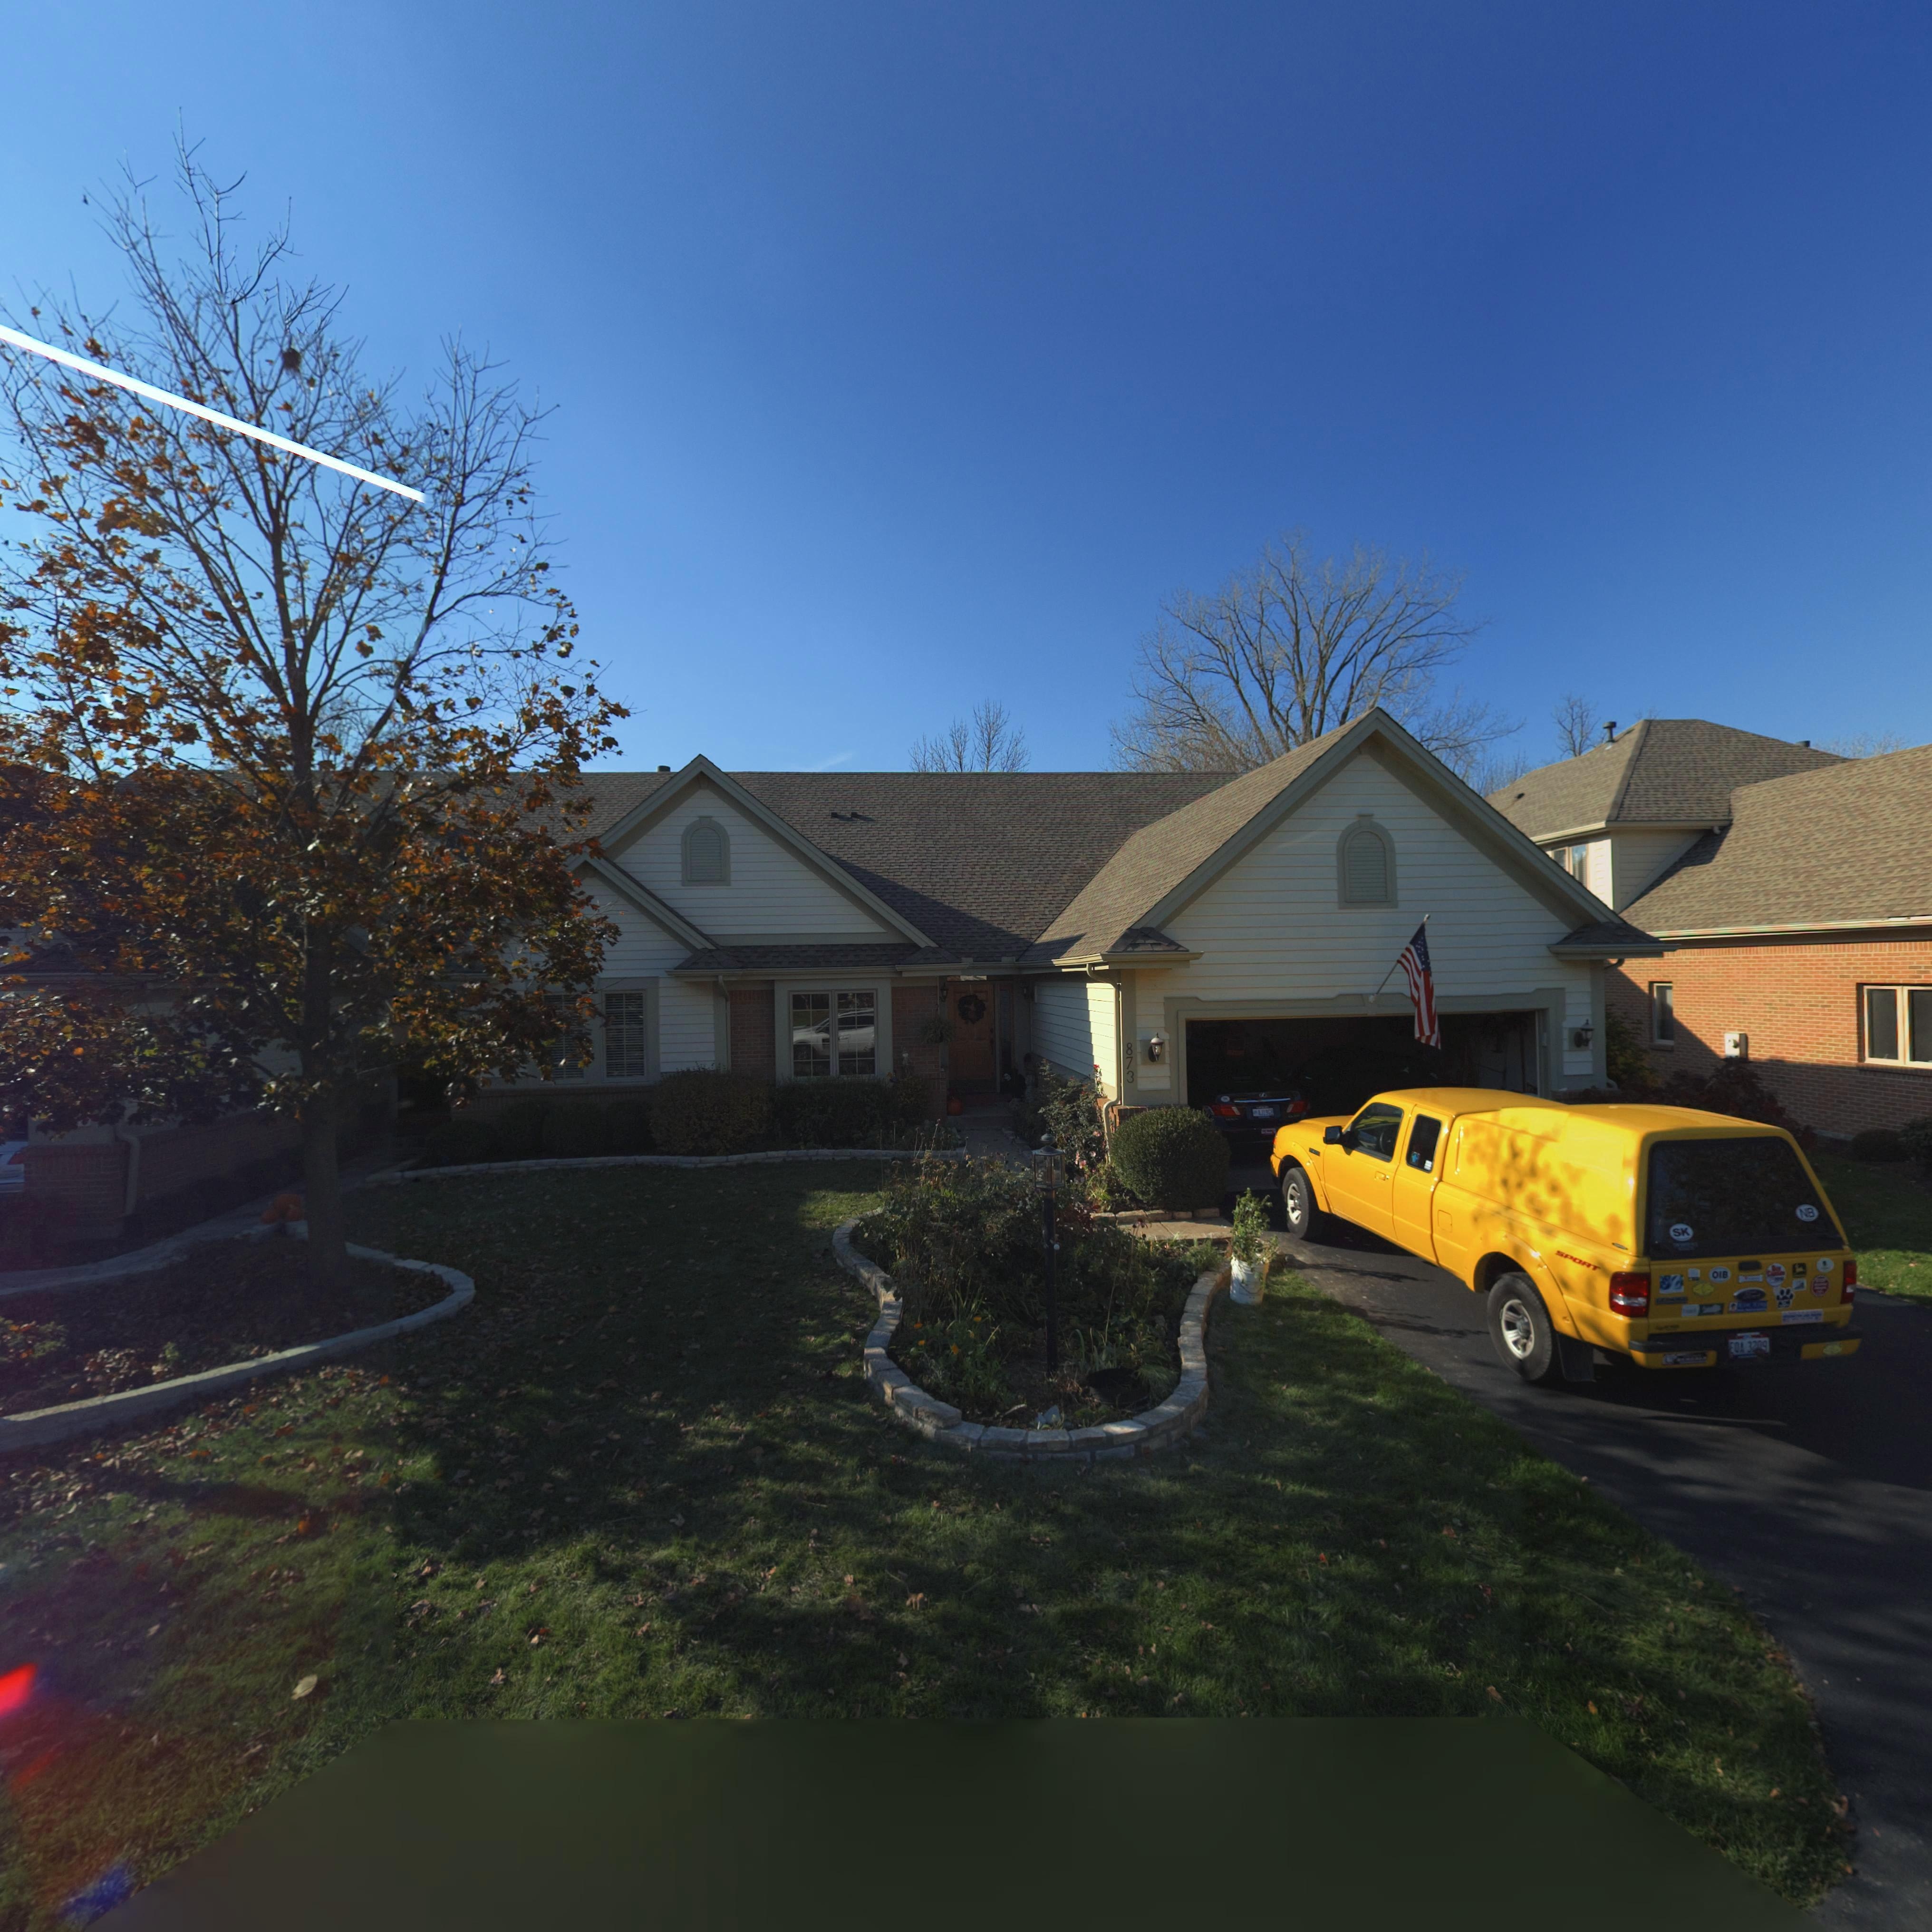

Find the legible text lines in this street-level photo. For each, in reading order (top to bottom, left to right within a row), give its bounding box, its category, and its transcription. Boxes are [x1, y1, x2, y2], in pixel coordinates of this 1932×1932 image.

[1125, 1041, 1135, 1085] StreetNumber: 873